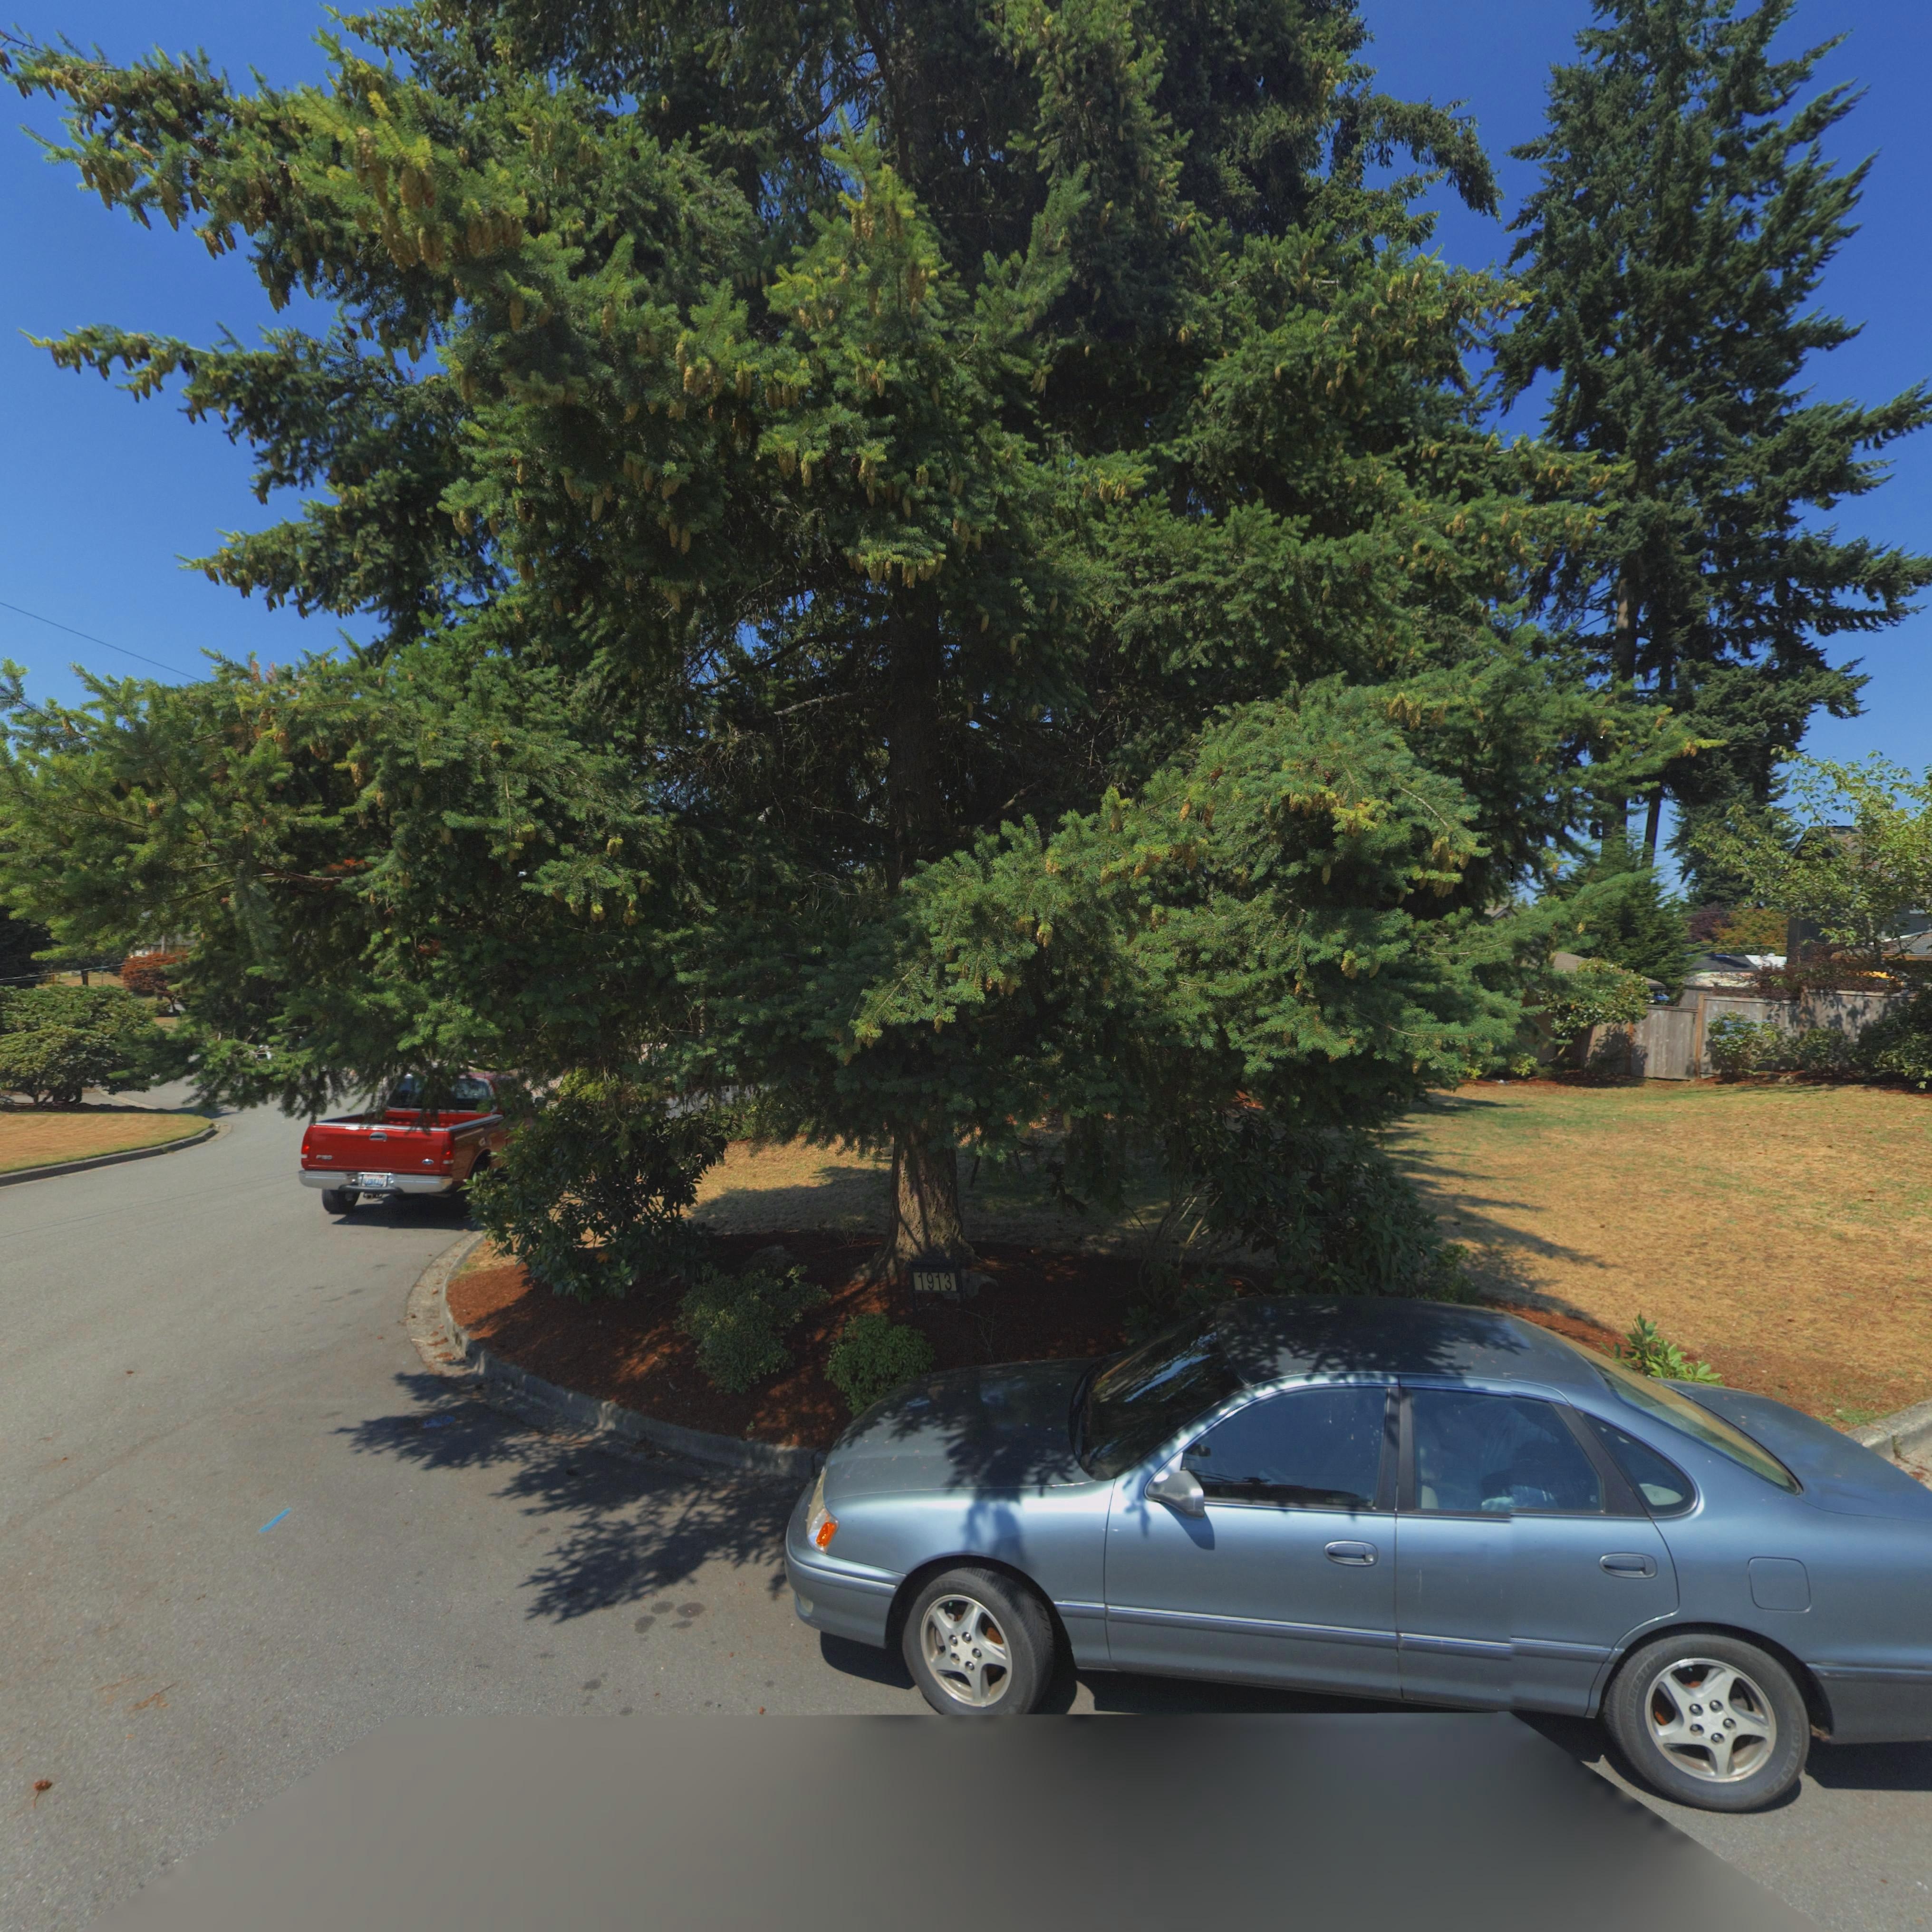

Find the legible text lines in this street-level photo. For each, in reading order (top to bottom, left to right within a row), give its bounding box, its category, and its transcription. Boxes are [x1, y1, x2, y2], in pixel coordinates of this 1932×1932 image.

[918, 1271, 952, 1291] StreetNumber: 1913